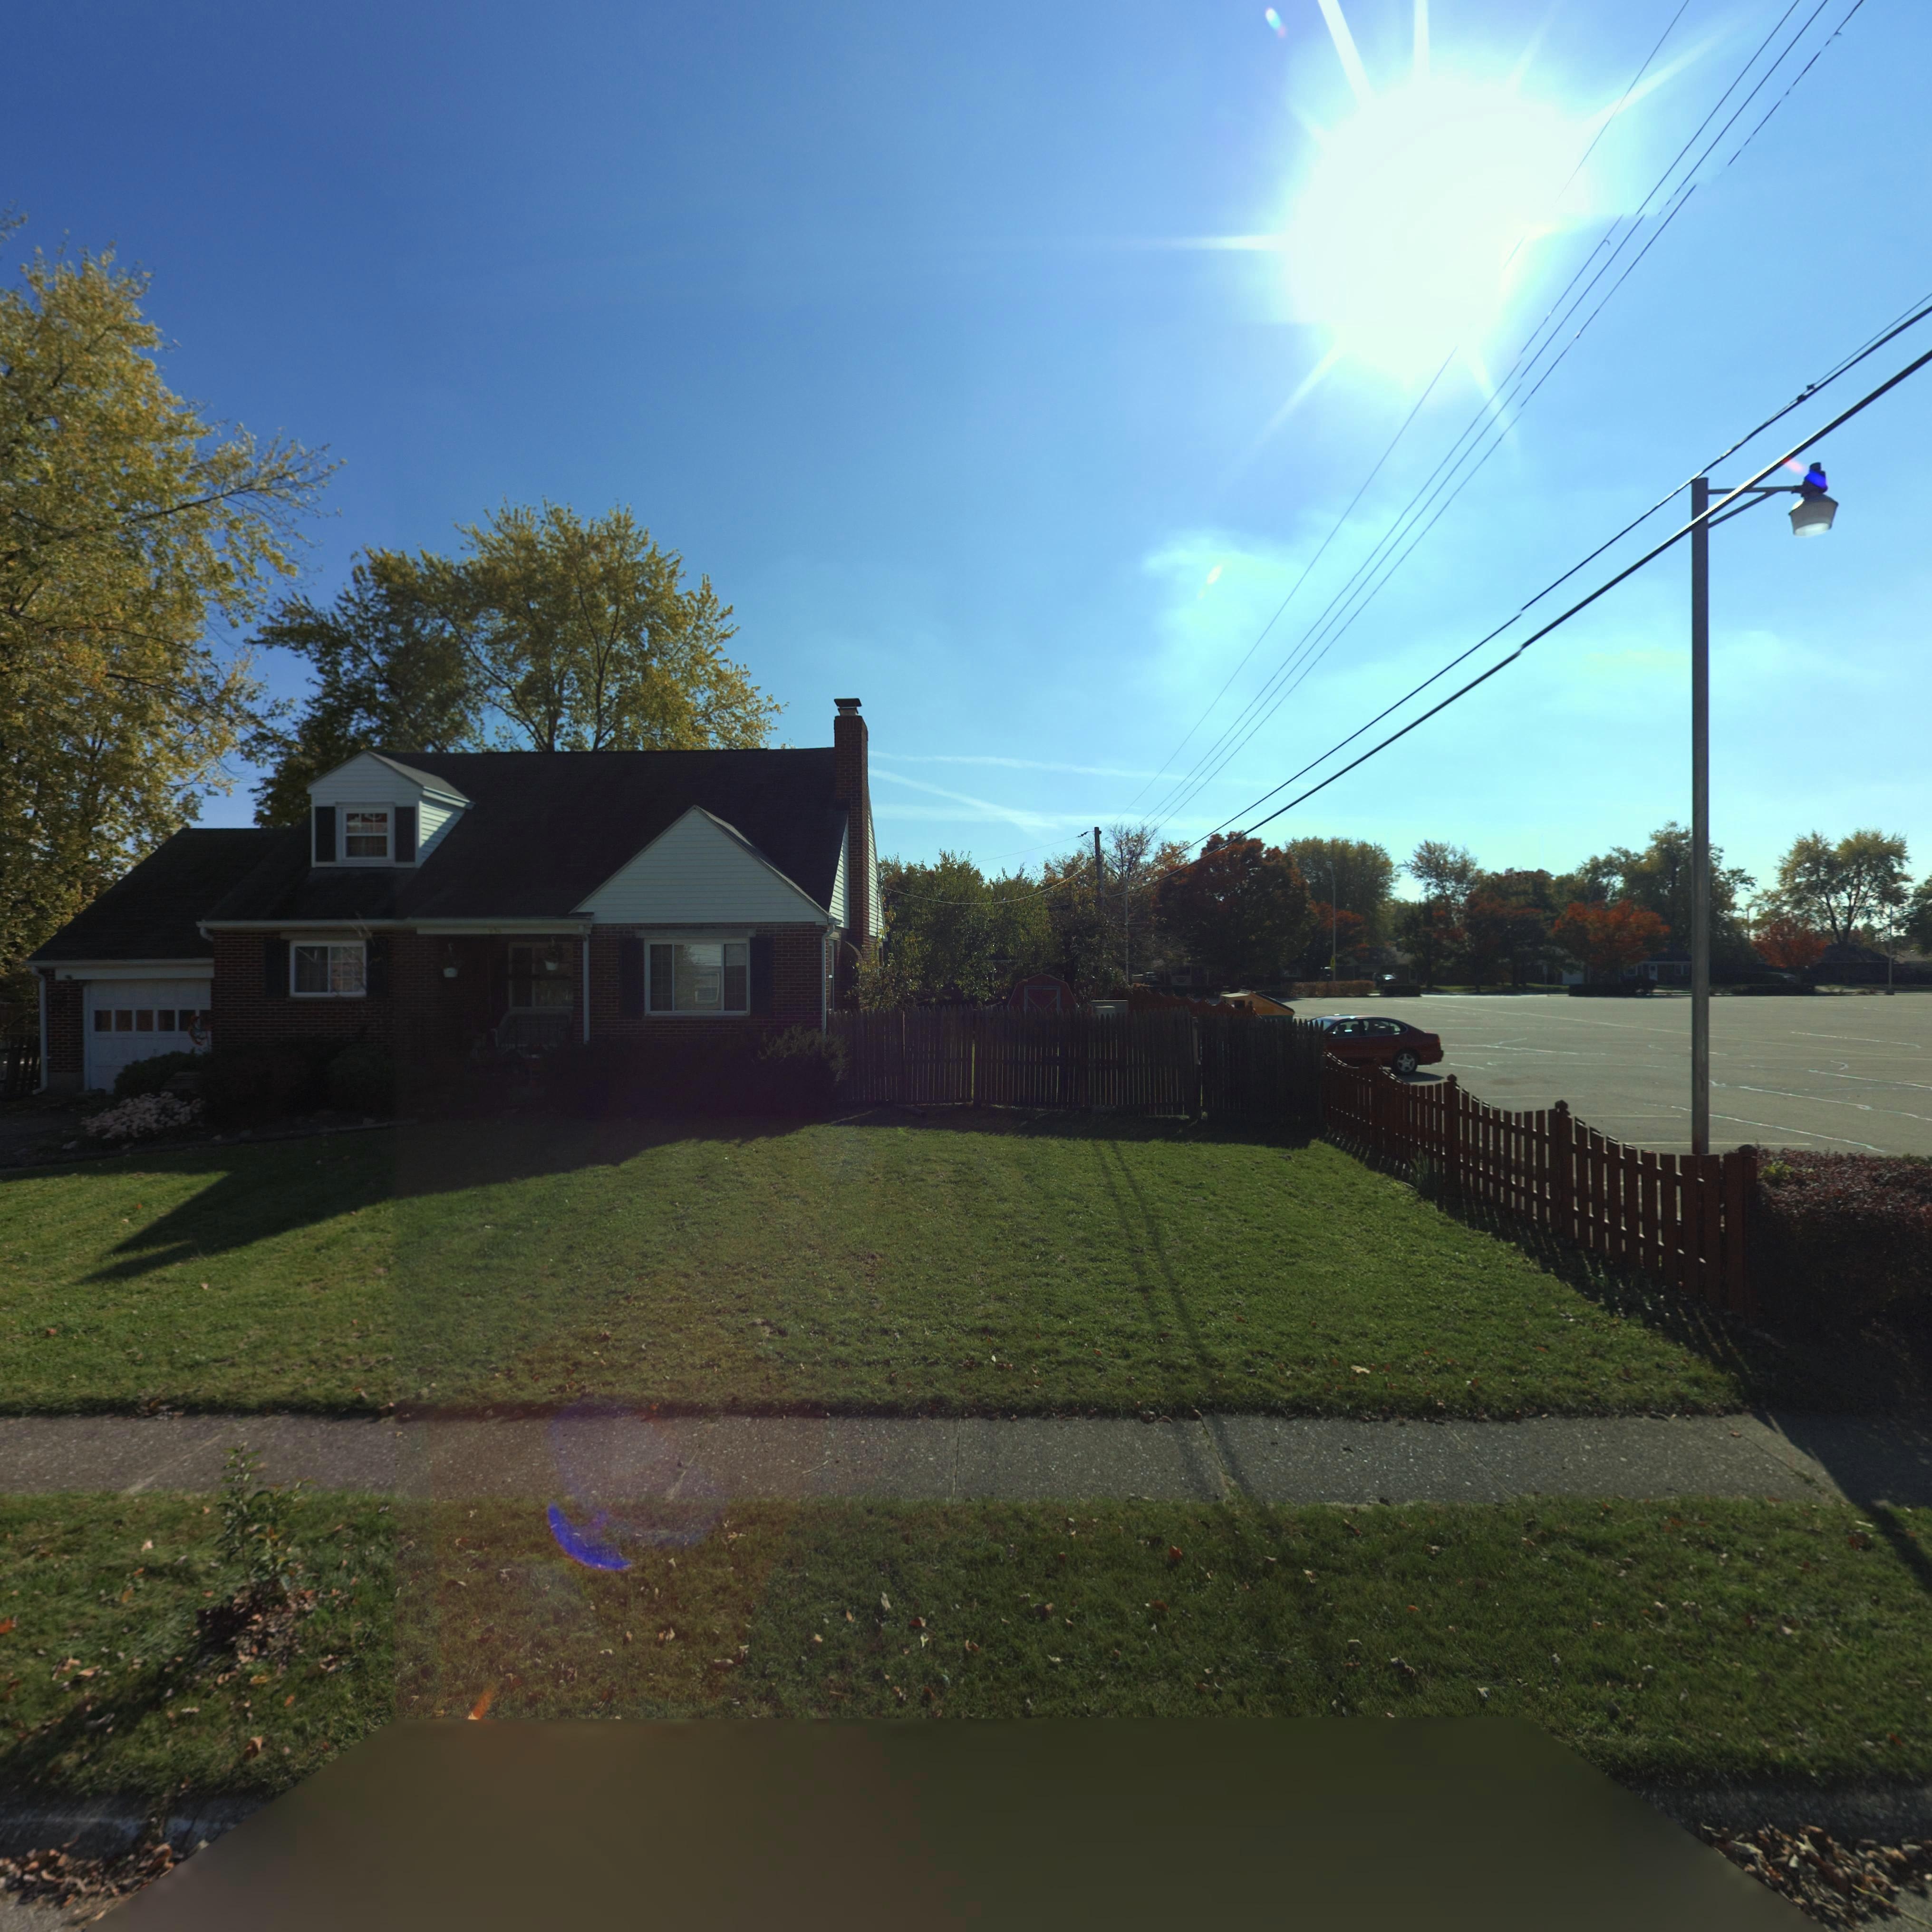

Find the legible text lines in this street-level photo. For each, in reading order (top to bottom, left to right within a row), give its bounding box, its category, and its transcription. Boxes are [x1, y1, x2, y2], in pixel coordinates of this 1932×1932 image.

[487, 927, 502, 934] StreetNumber: 93*